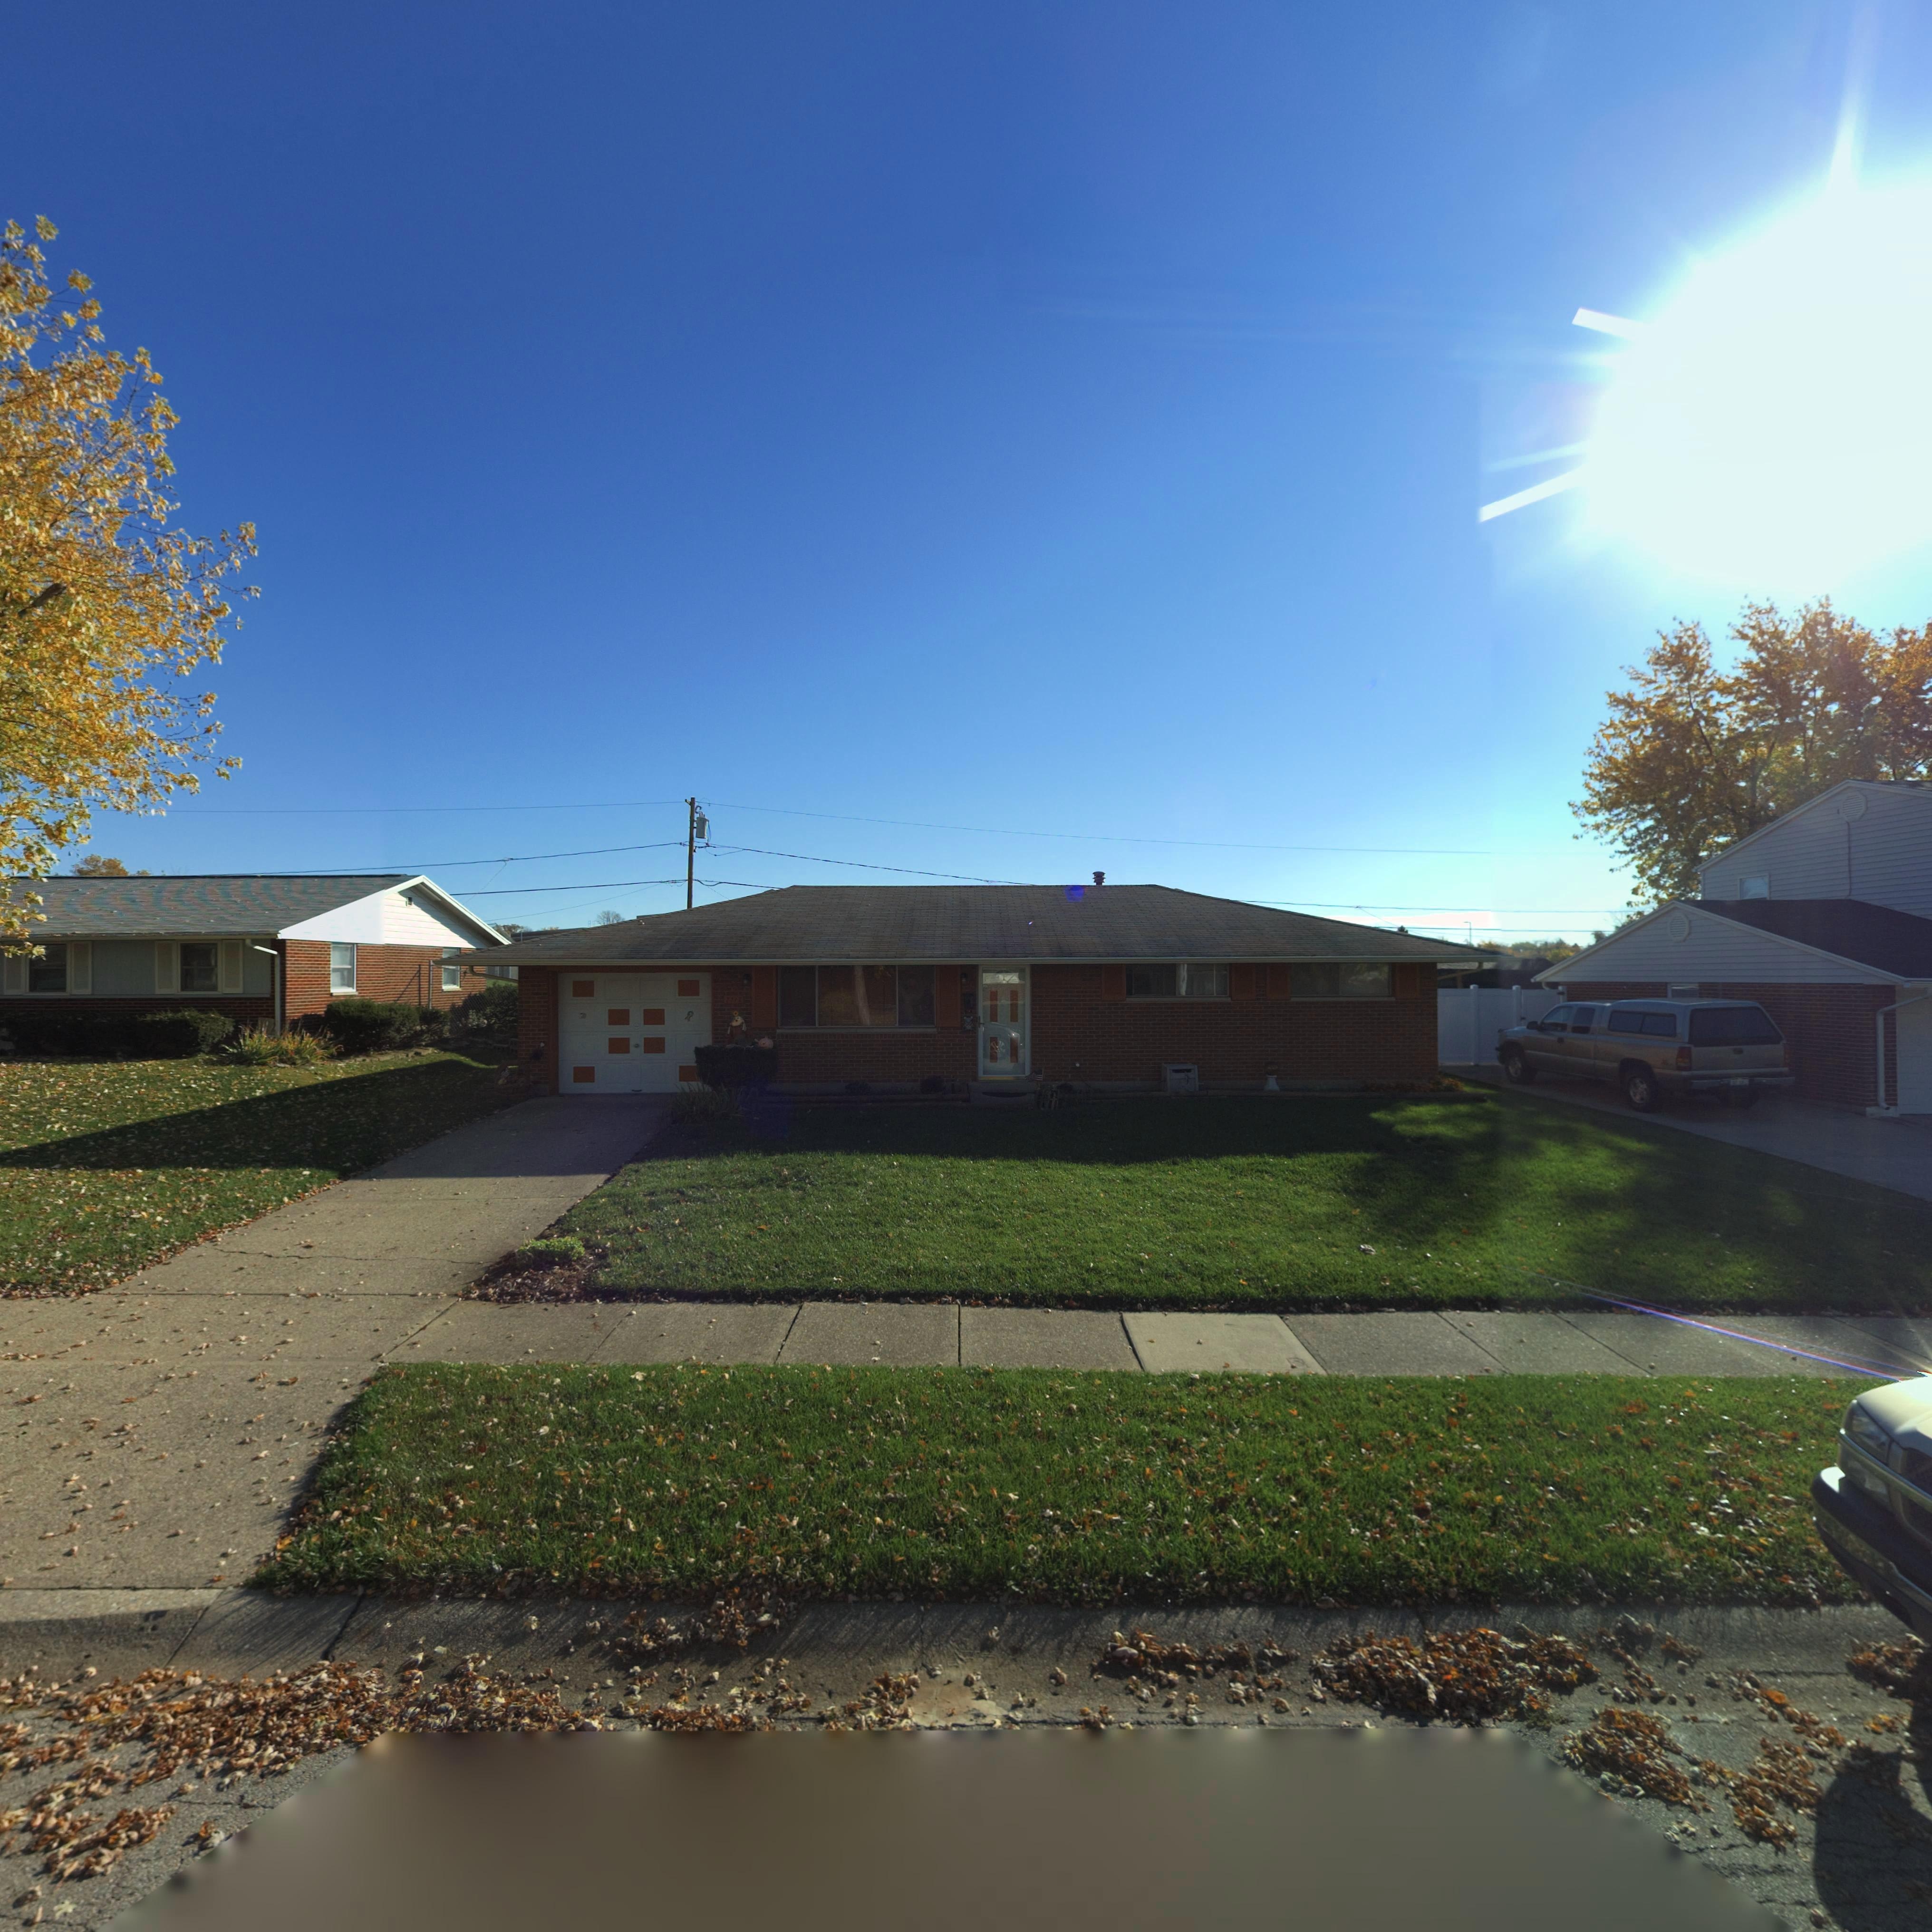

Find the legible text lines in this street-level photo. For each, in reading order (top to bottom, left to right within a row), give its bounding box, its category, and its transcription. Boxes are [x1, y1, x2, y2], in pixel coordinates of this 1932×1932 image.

[725, 996, 743, 1003] StreetNumber: 7712